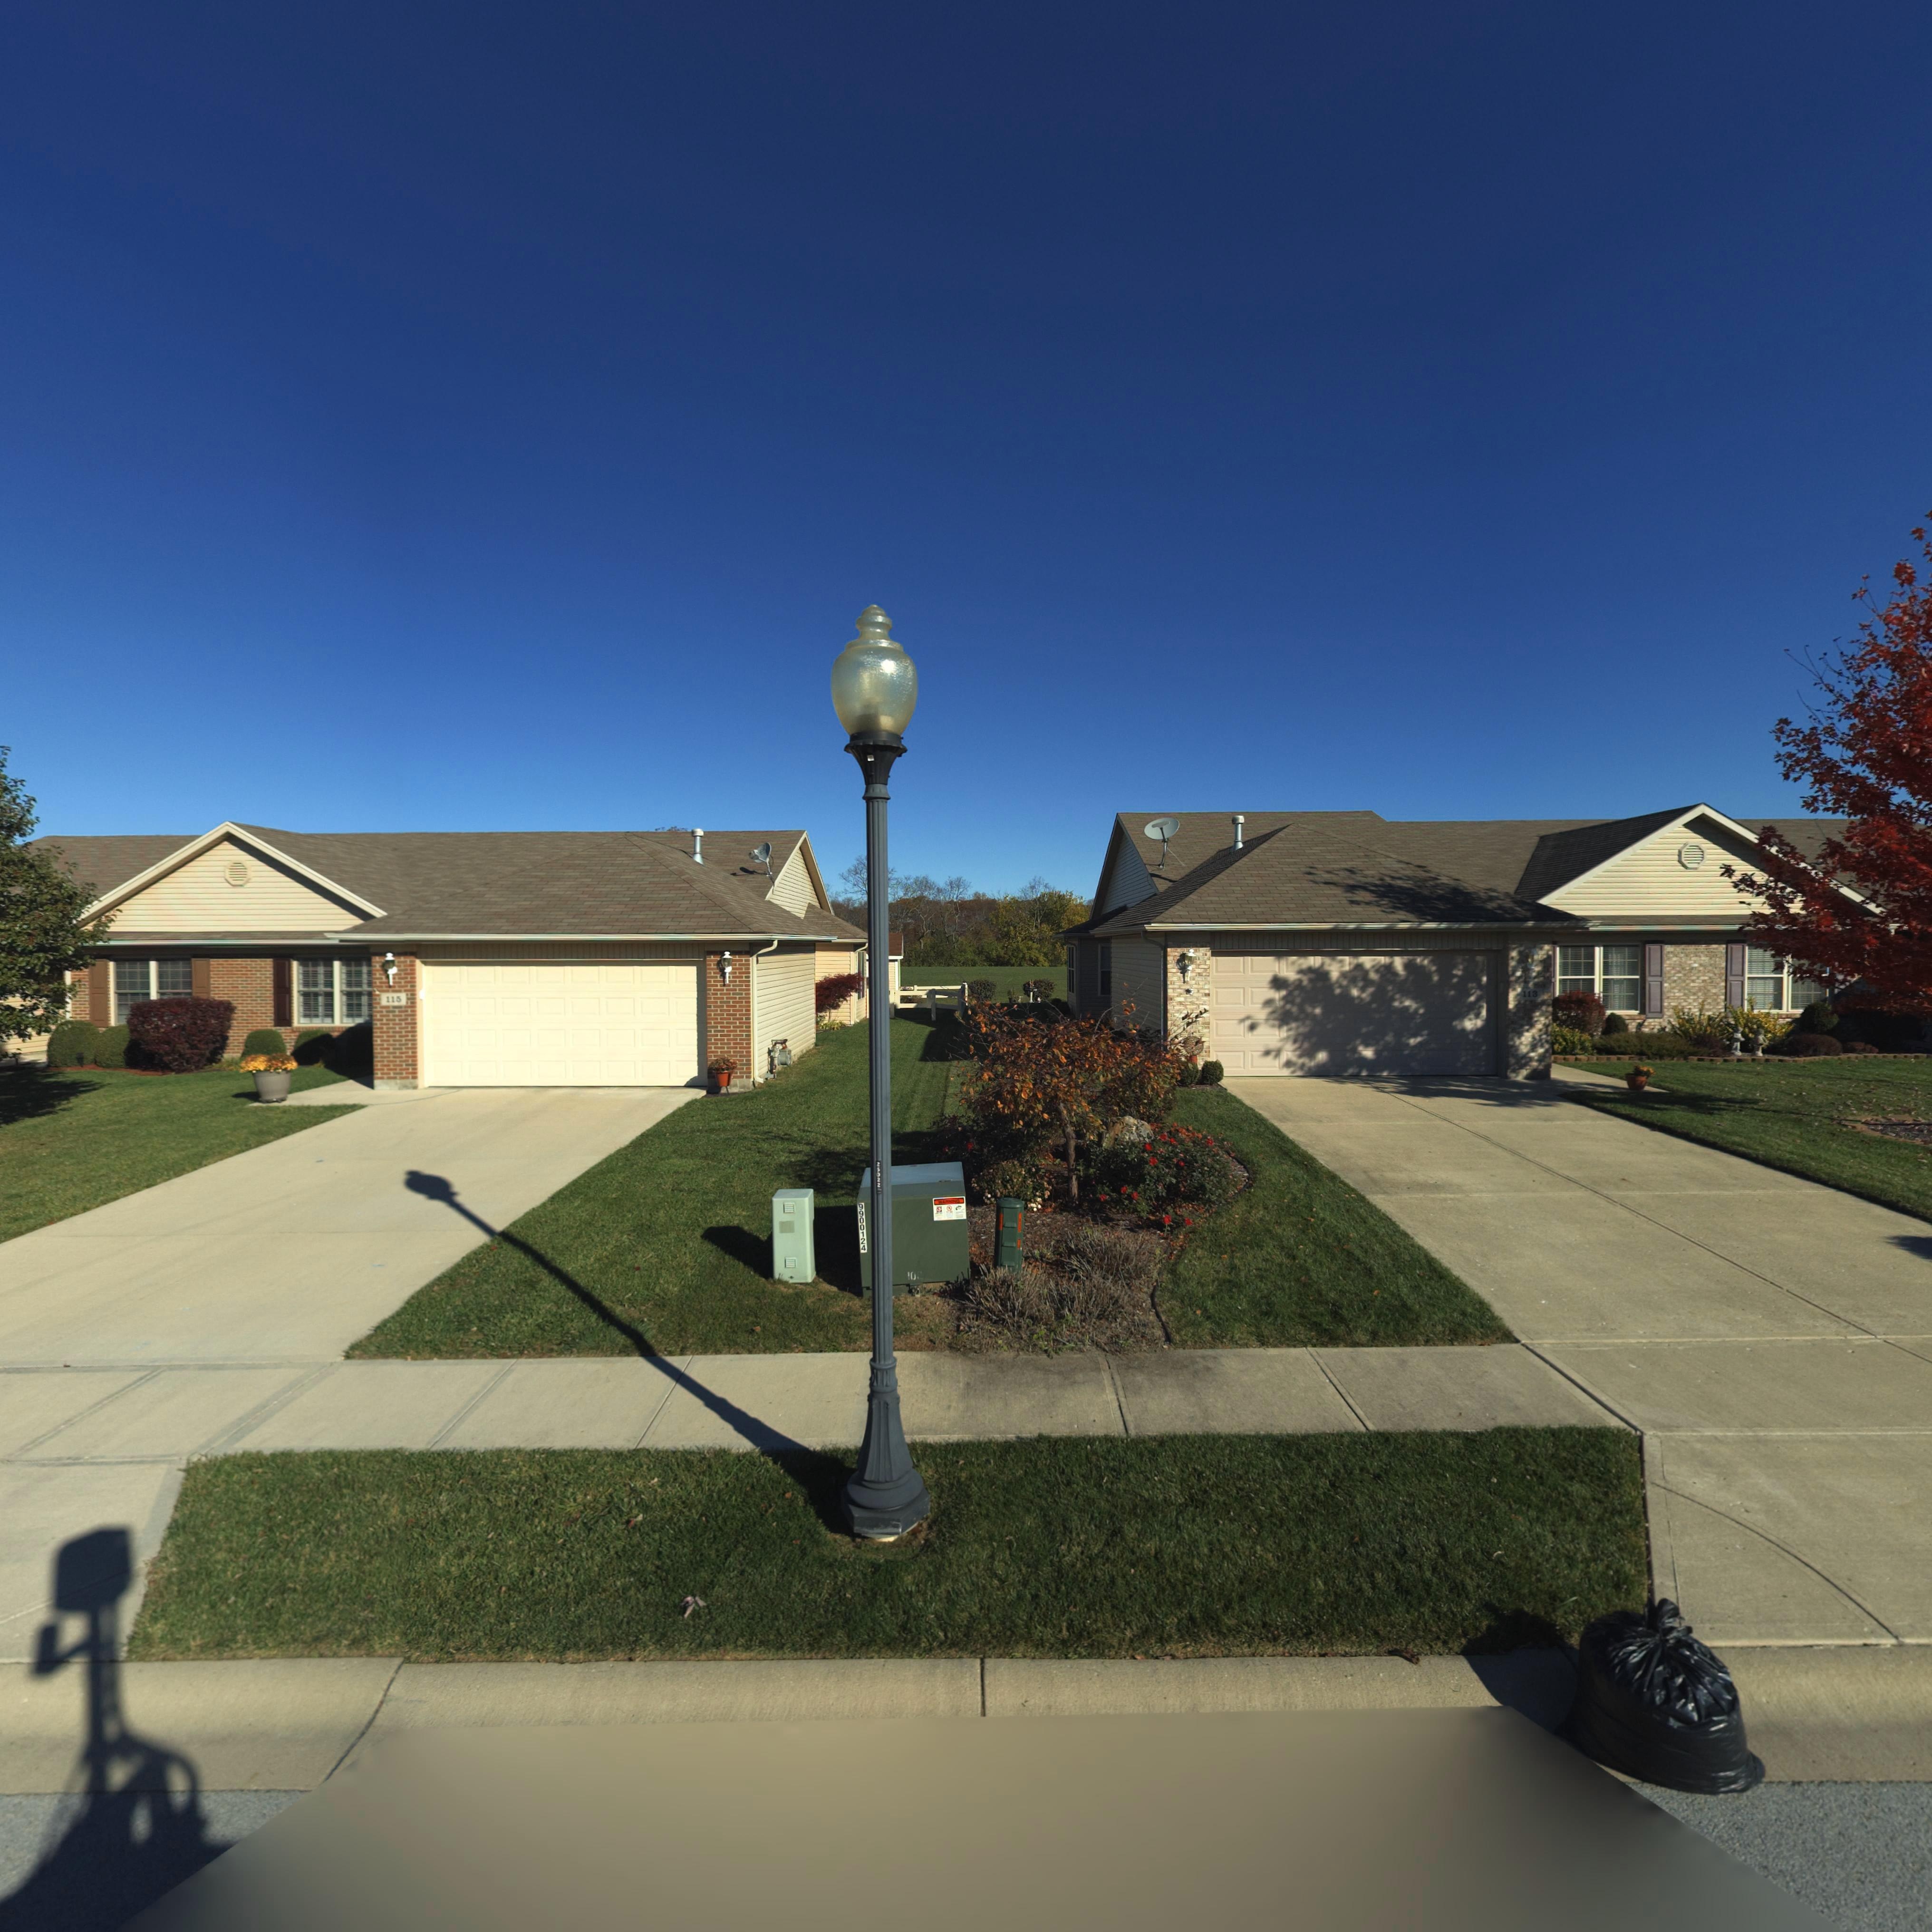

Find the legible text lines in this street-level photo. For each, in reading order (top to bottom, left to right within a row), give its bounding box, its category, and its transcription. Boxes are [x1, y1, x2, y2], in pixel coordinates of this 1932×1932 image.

[1522, 989, 1539, 998] StreetNumber: 113
[385, 995, 403, 1004] StreetNumber: 115